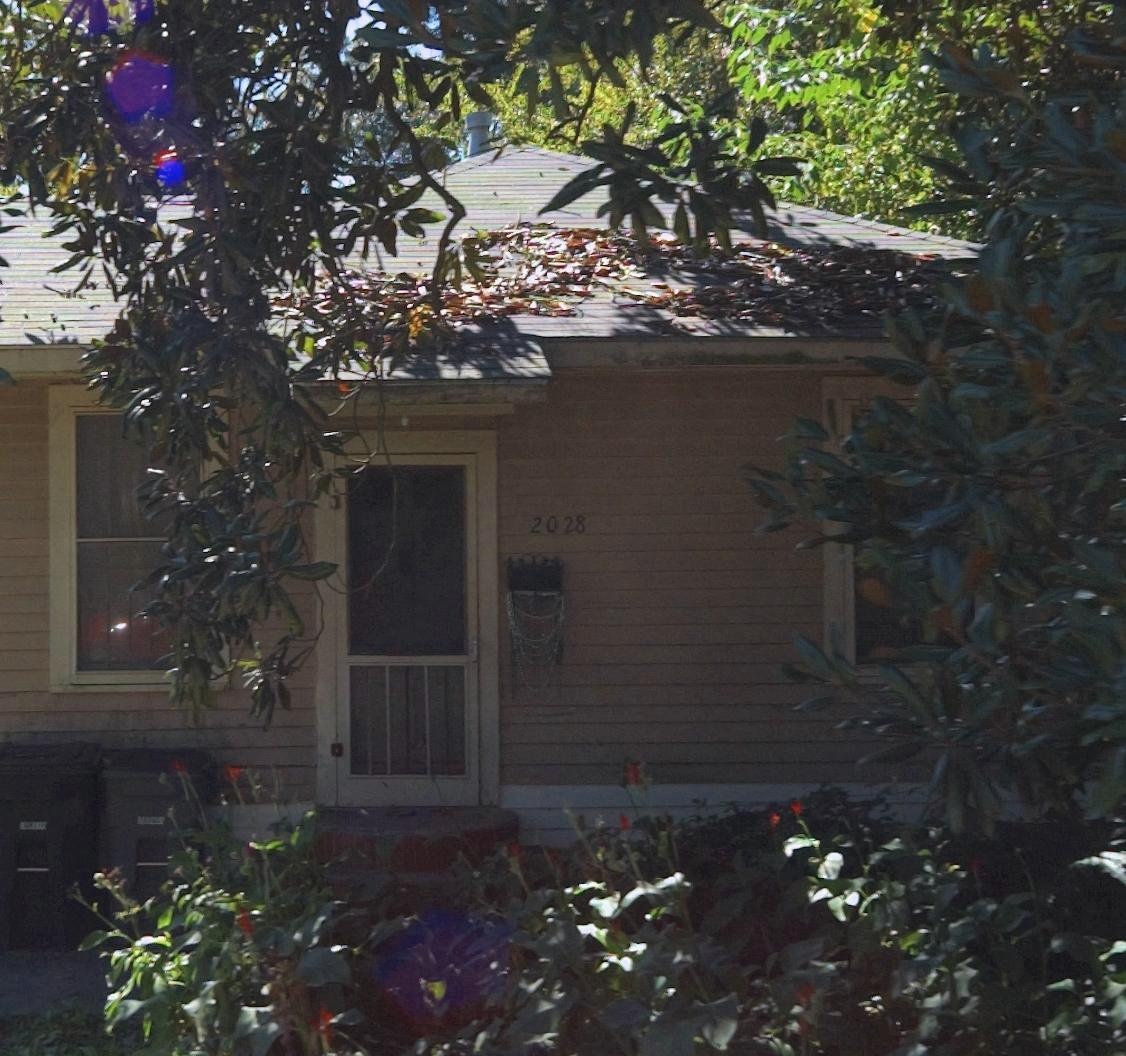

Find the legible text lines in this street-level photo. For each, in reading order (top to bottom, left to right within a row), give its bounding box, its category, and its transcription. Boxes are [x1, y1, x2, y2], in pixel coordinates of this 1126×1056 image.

[527, 512, 589, 537] StreetNumber: 2028